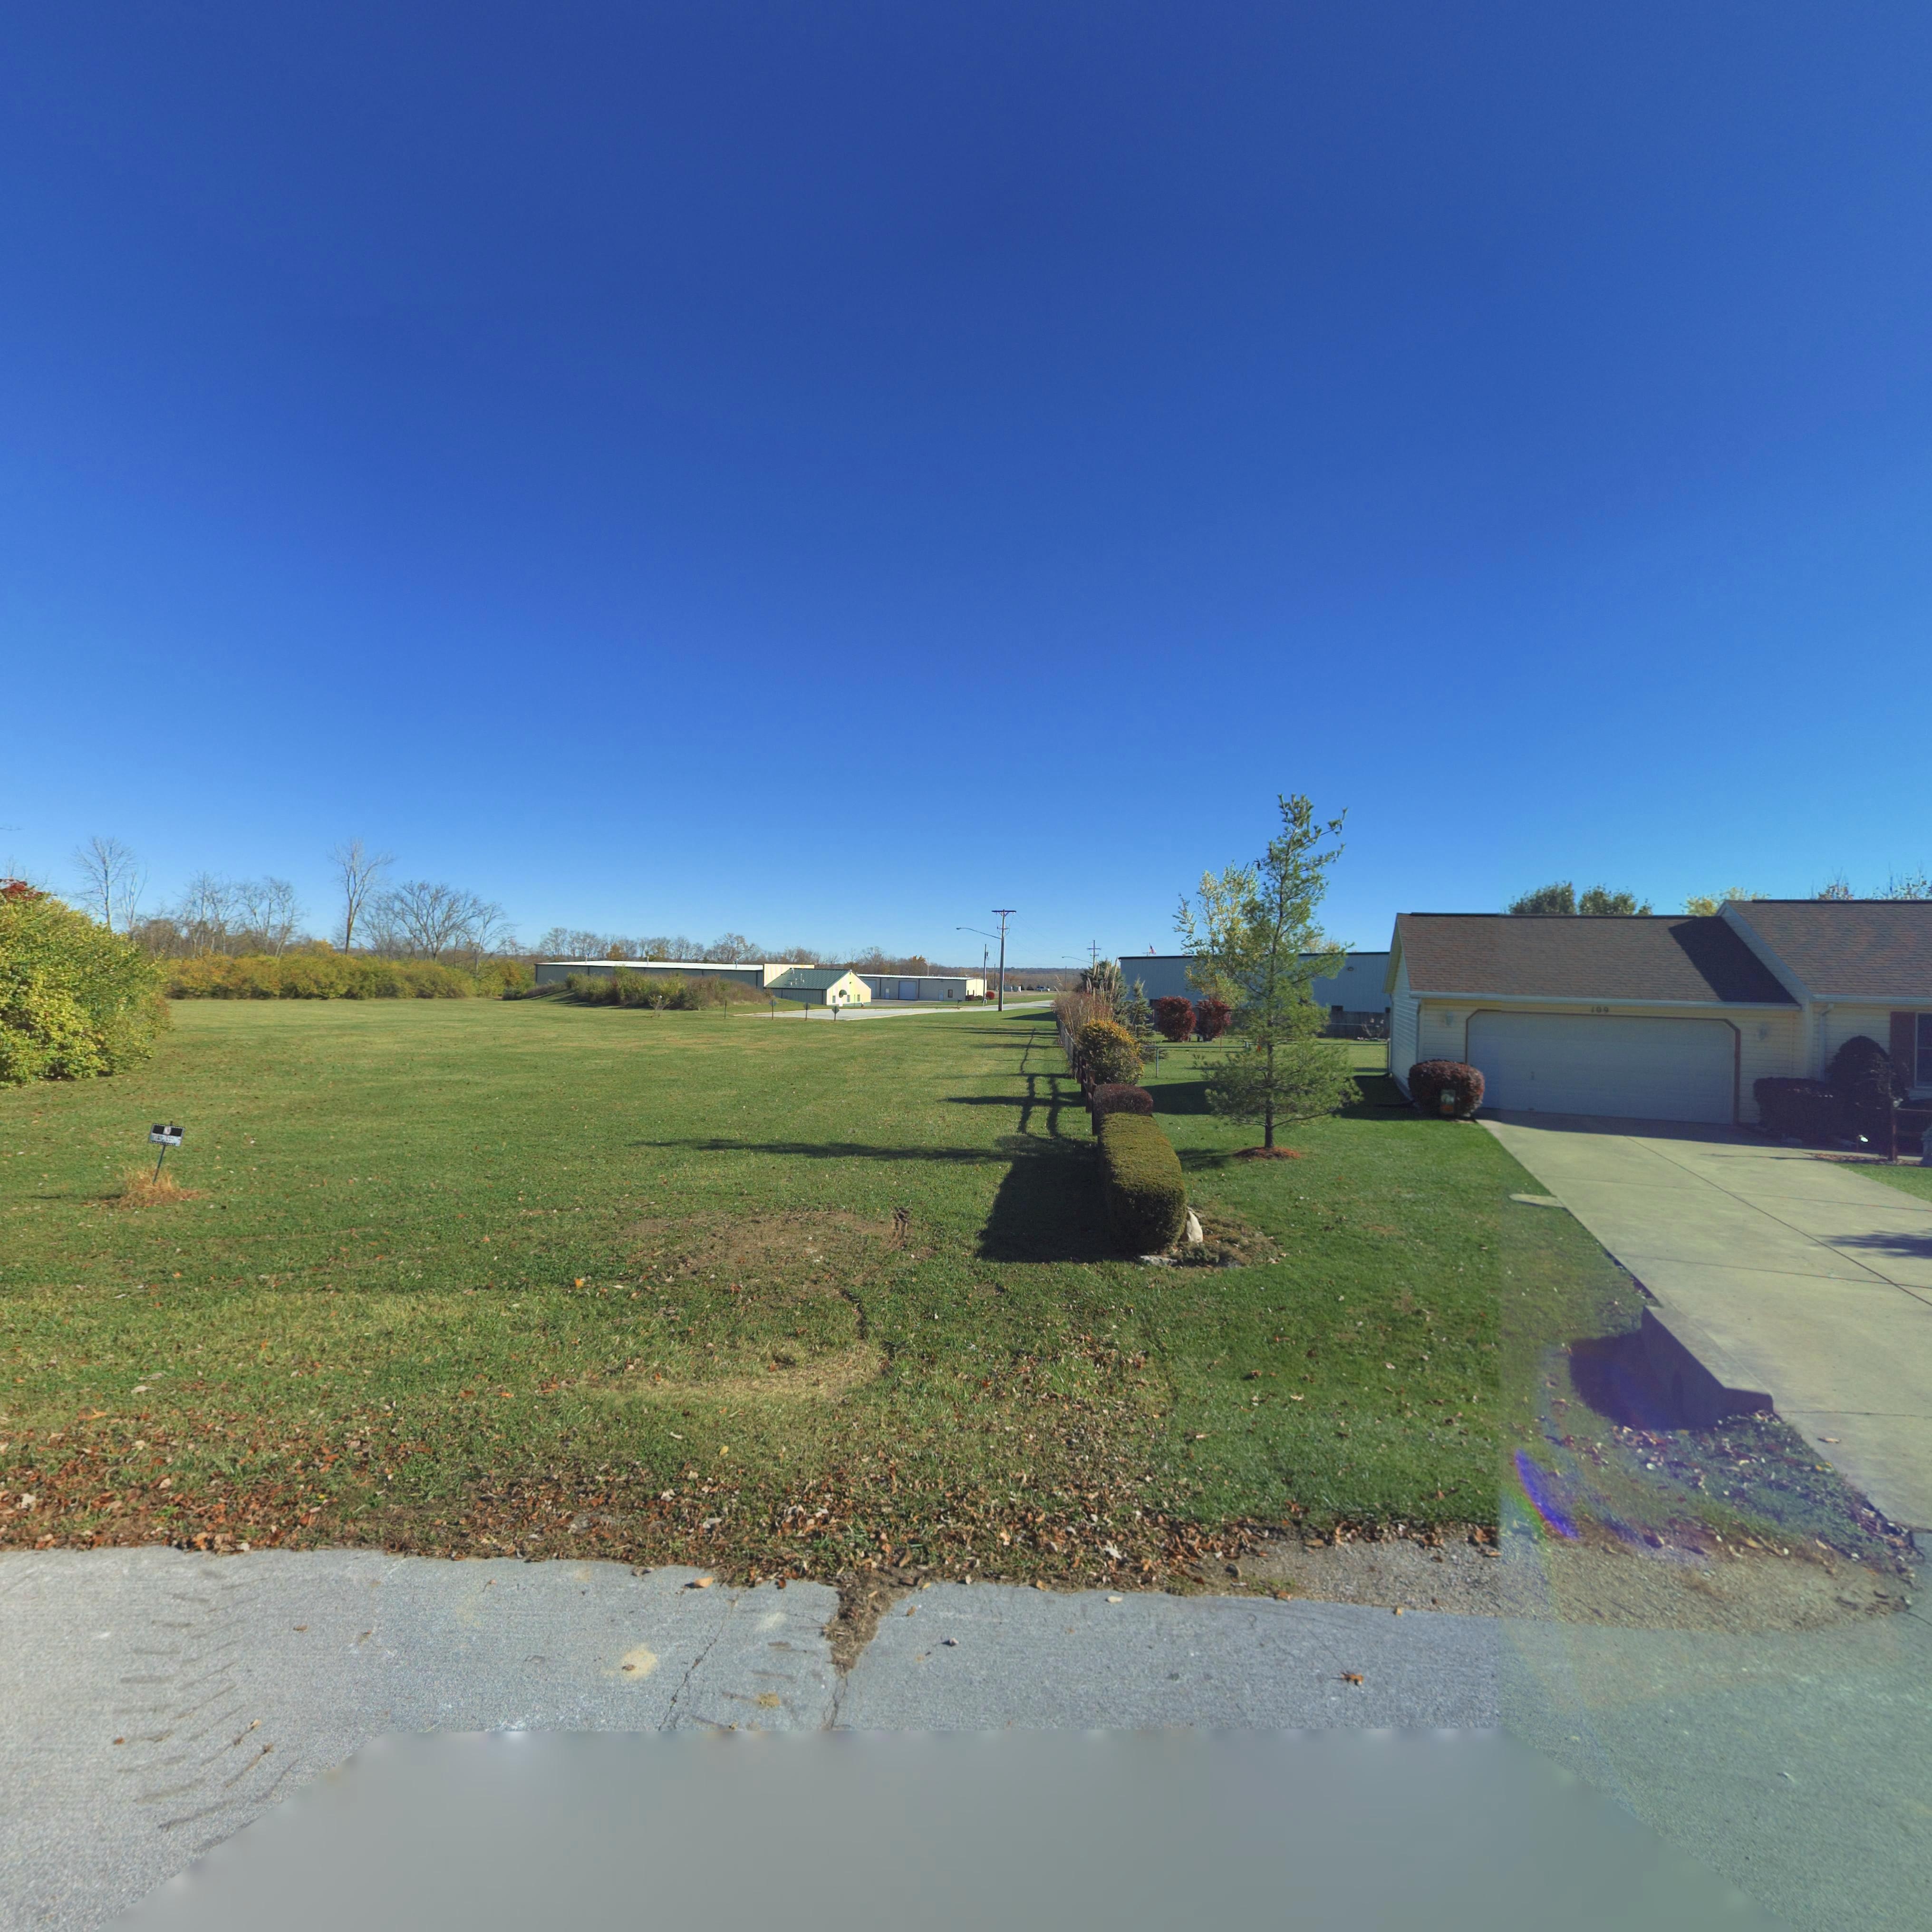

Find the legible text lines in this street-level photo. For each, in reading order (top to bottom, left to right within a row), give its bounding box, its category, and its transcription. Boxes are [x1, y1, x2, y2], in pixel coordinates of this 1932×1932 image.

[1590, 1005, 1609, 1014] StreetNumber: 109